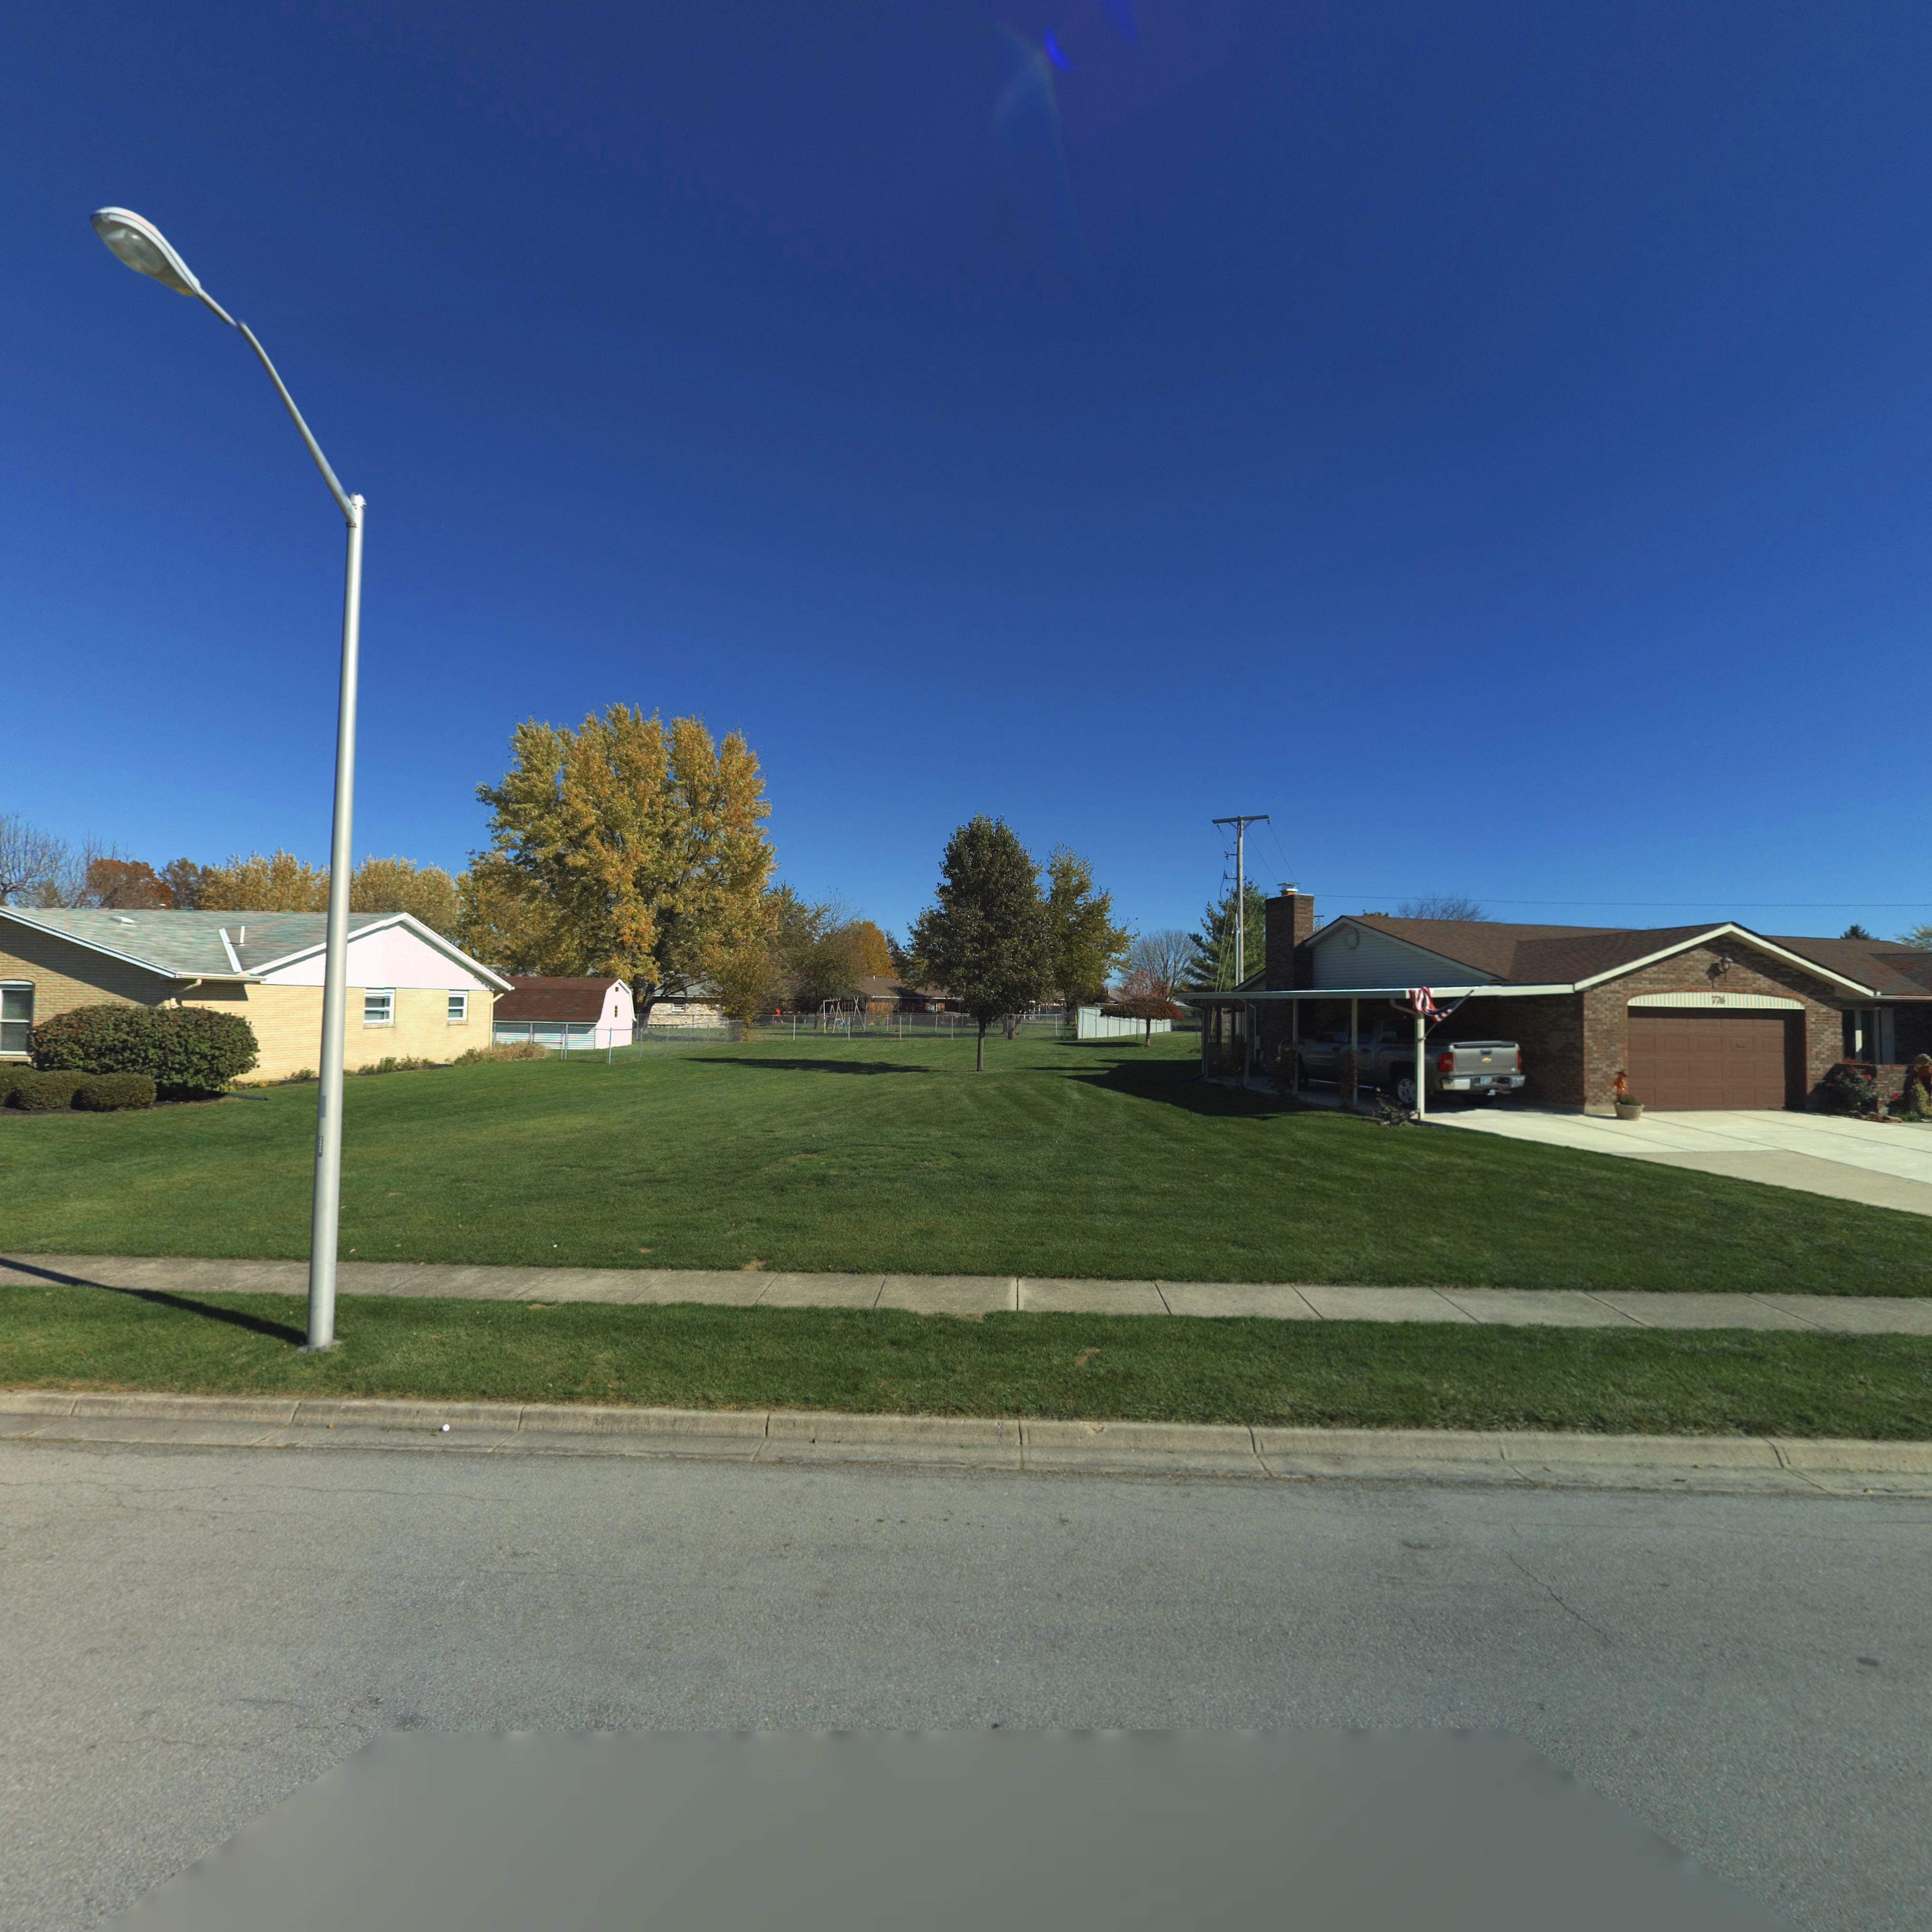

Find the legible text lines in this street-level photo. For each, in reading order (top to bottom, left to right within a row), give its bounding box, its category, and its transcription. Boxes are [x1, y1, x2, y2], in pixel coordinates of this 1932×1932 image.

[1711, 995, 1725, 1004] StreetNumber: 776